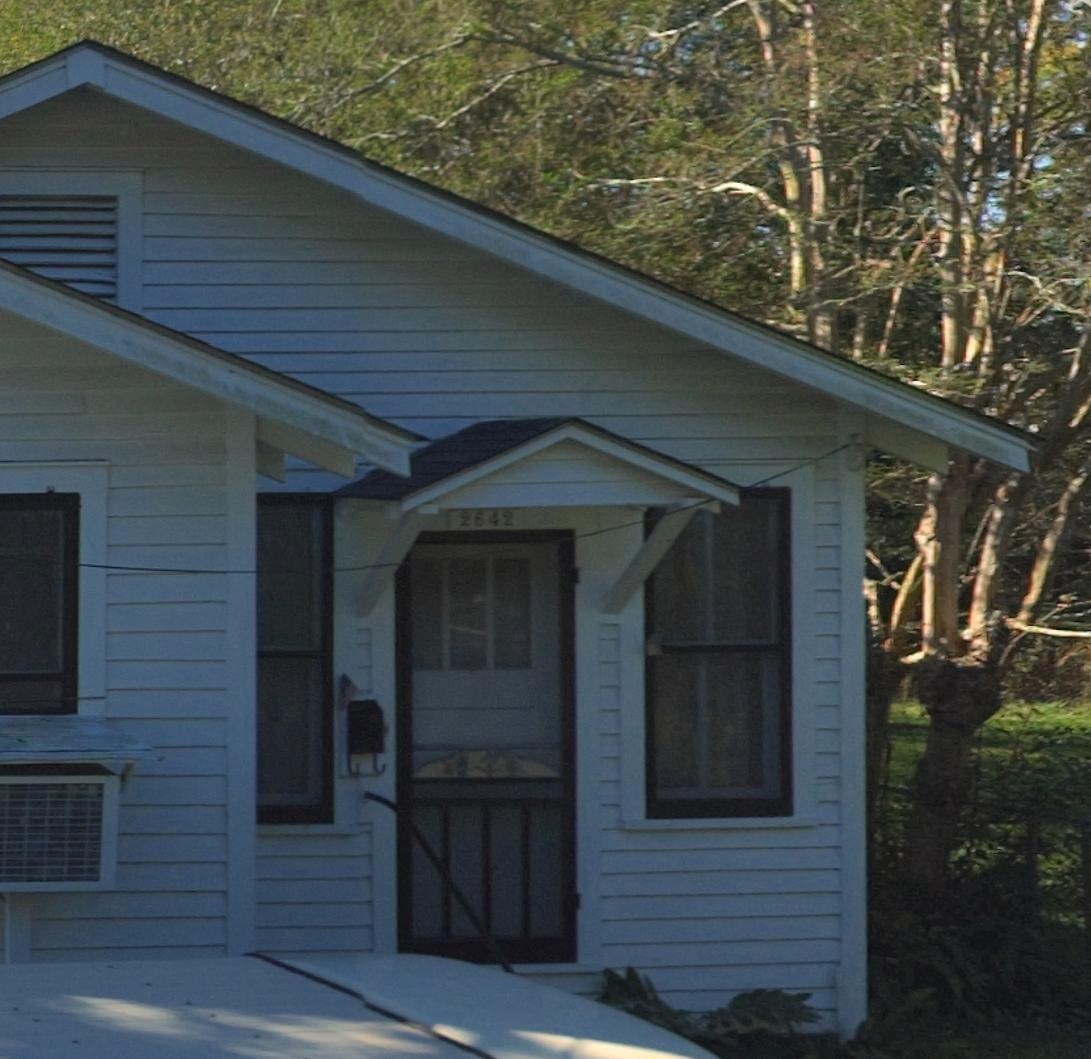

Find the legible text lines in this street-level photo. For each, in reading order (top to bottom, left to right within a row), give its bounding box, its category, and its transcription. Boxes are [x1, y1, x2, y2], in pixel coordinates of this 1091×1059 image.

[456, 506, 517, 529] StreetNumber: 2642